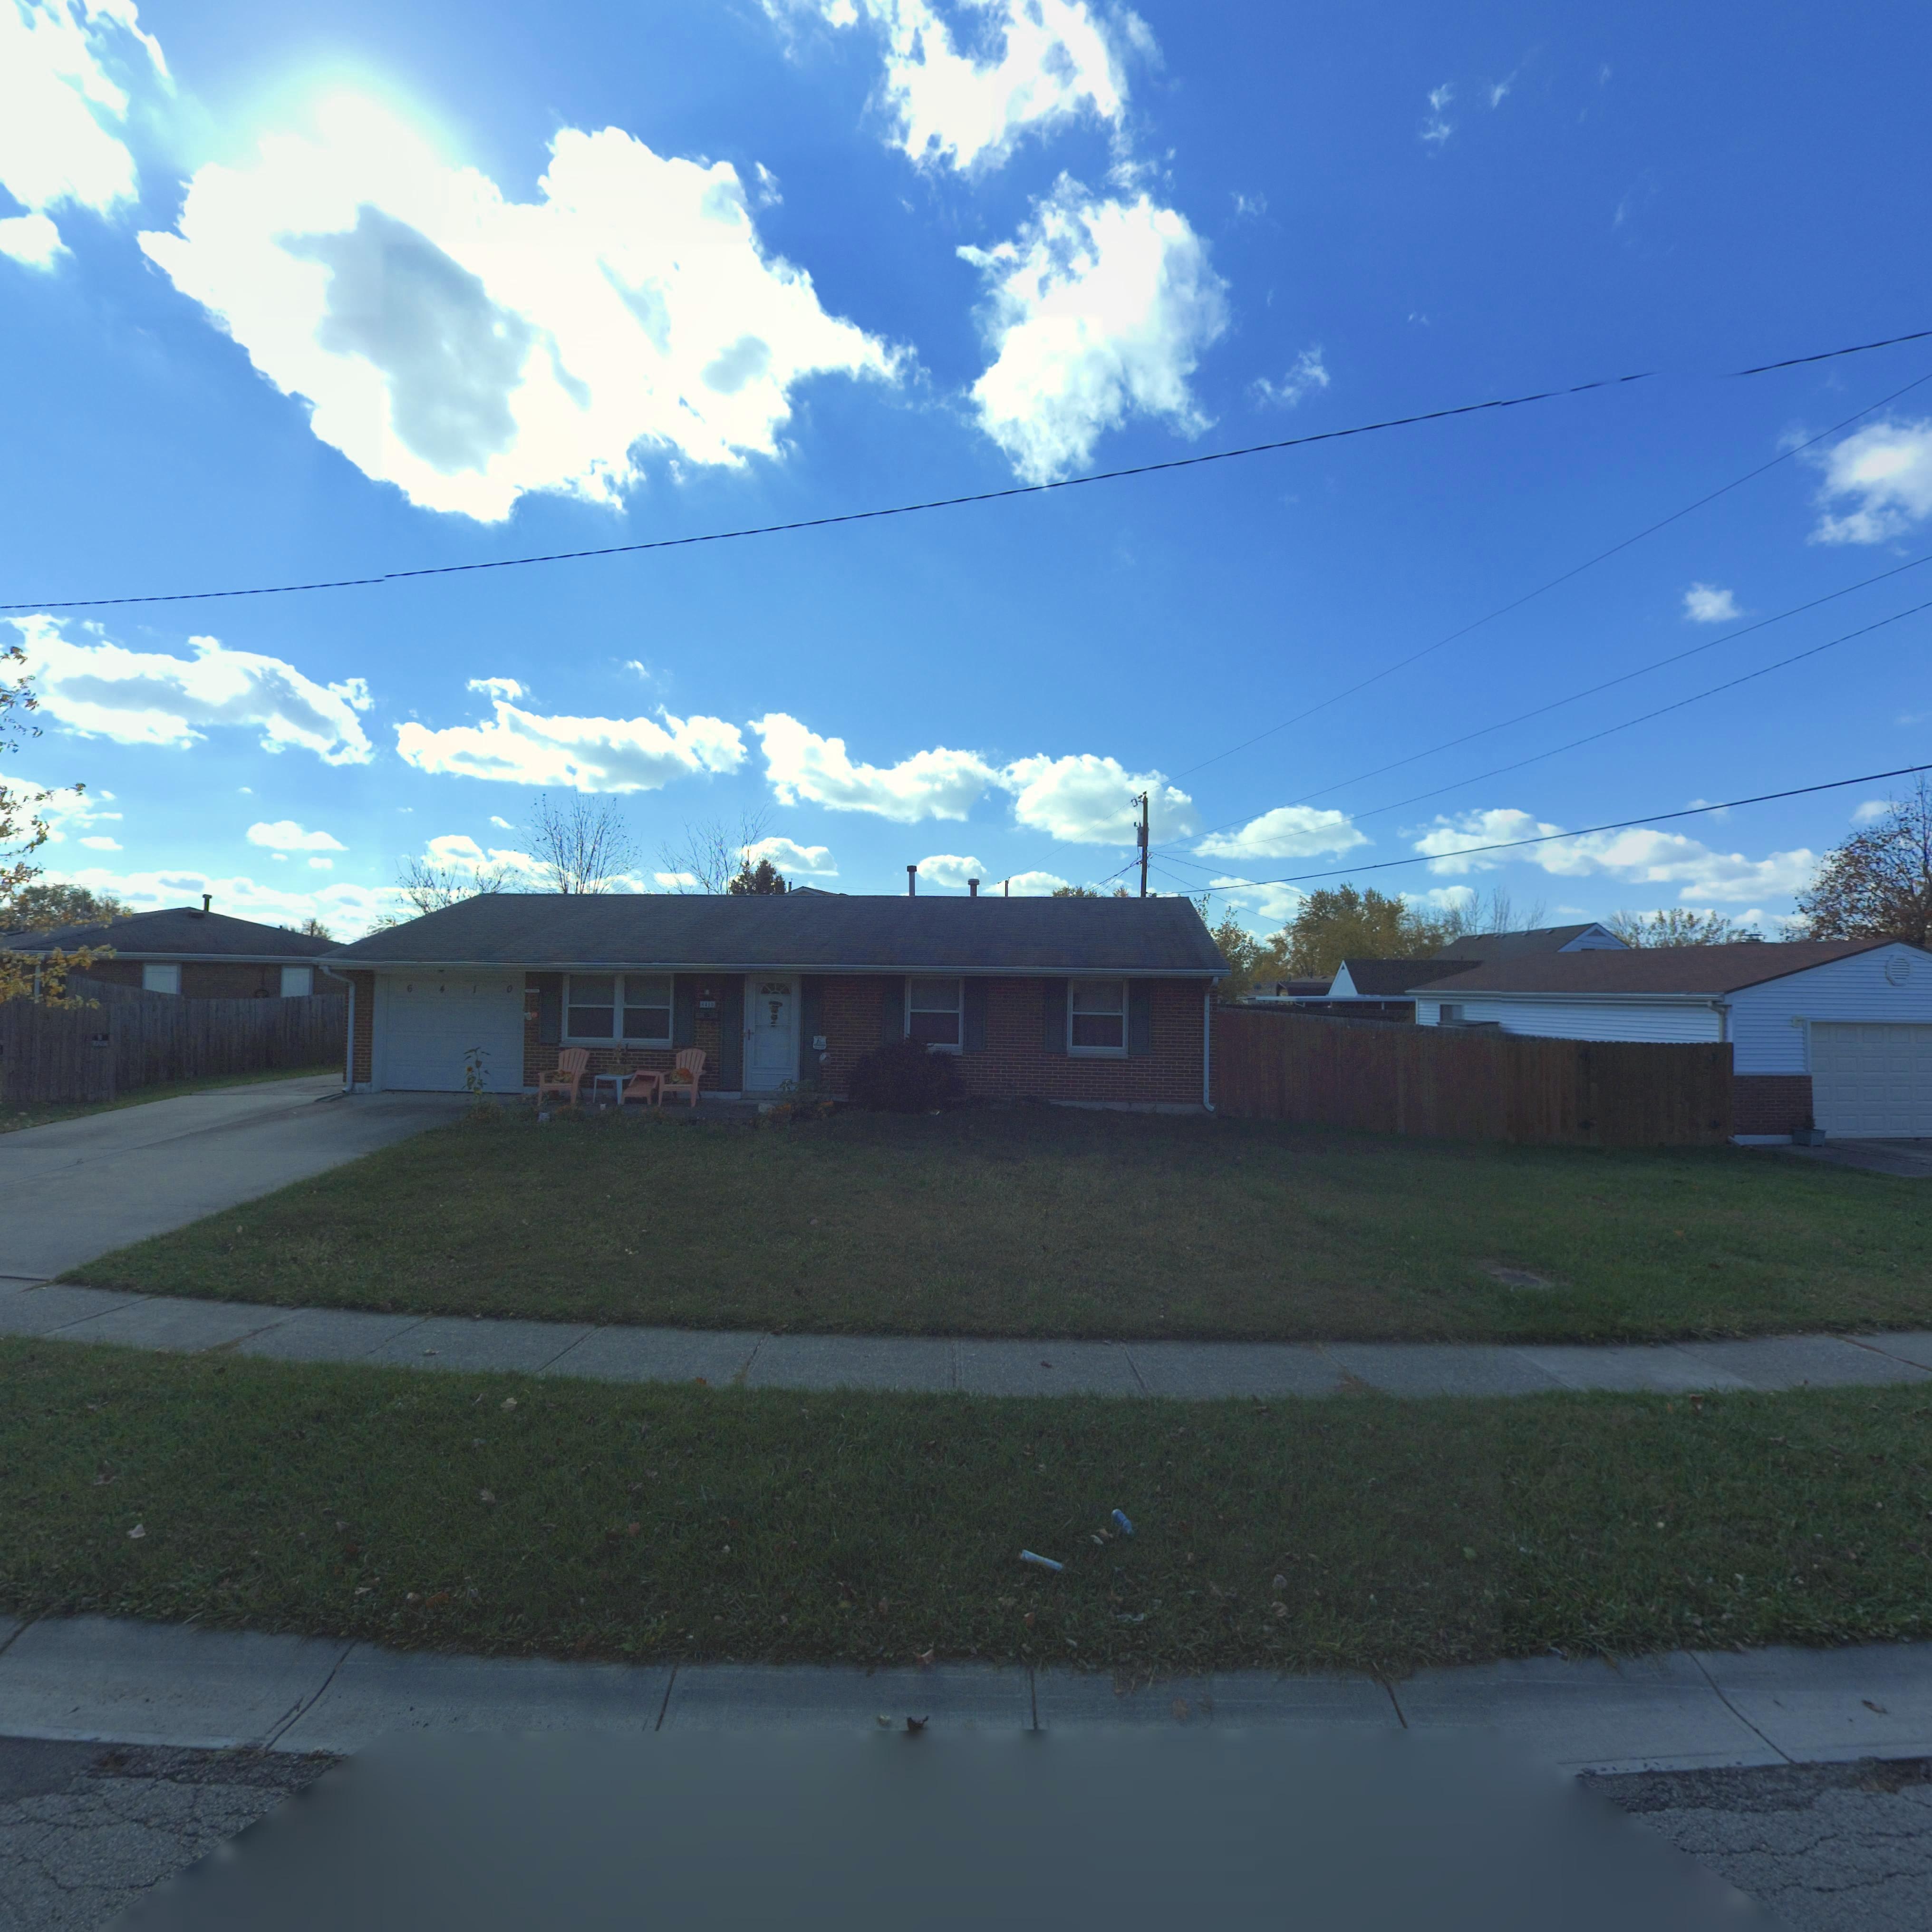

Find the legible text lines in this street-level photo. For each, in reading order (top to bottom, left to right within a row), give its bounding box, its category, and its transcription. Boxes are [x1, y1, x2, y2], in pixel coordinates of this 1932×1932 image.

[406, 984, 513, 994] StreetNumber: 6410
[701, 1002, 715, 1008] StreetNumber: 6410